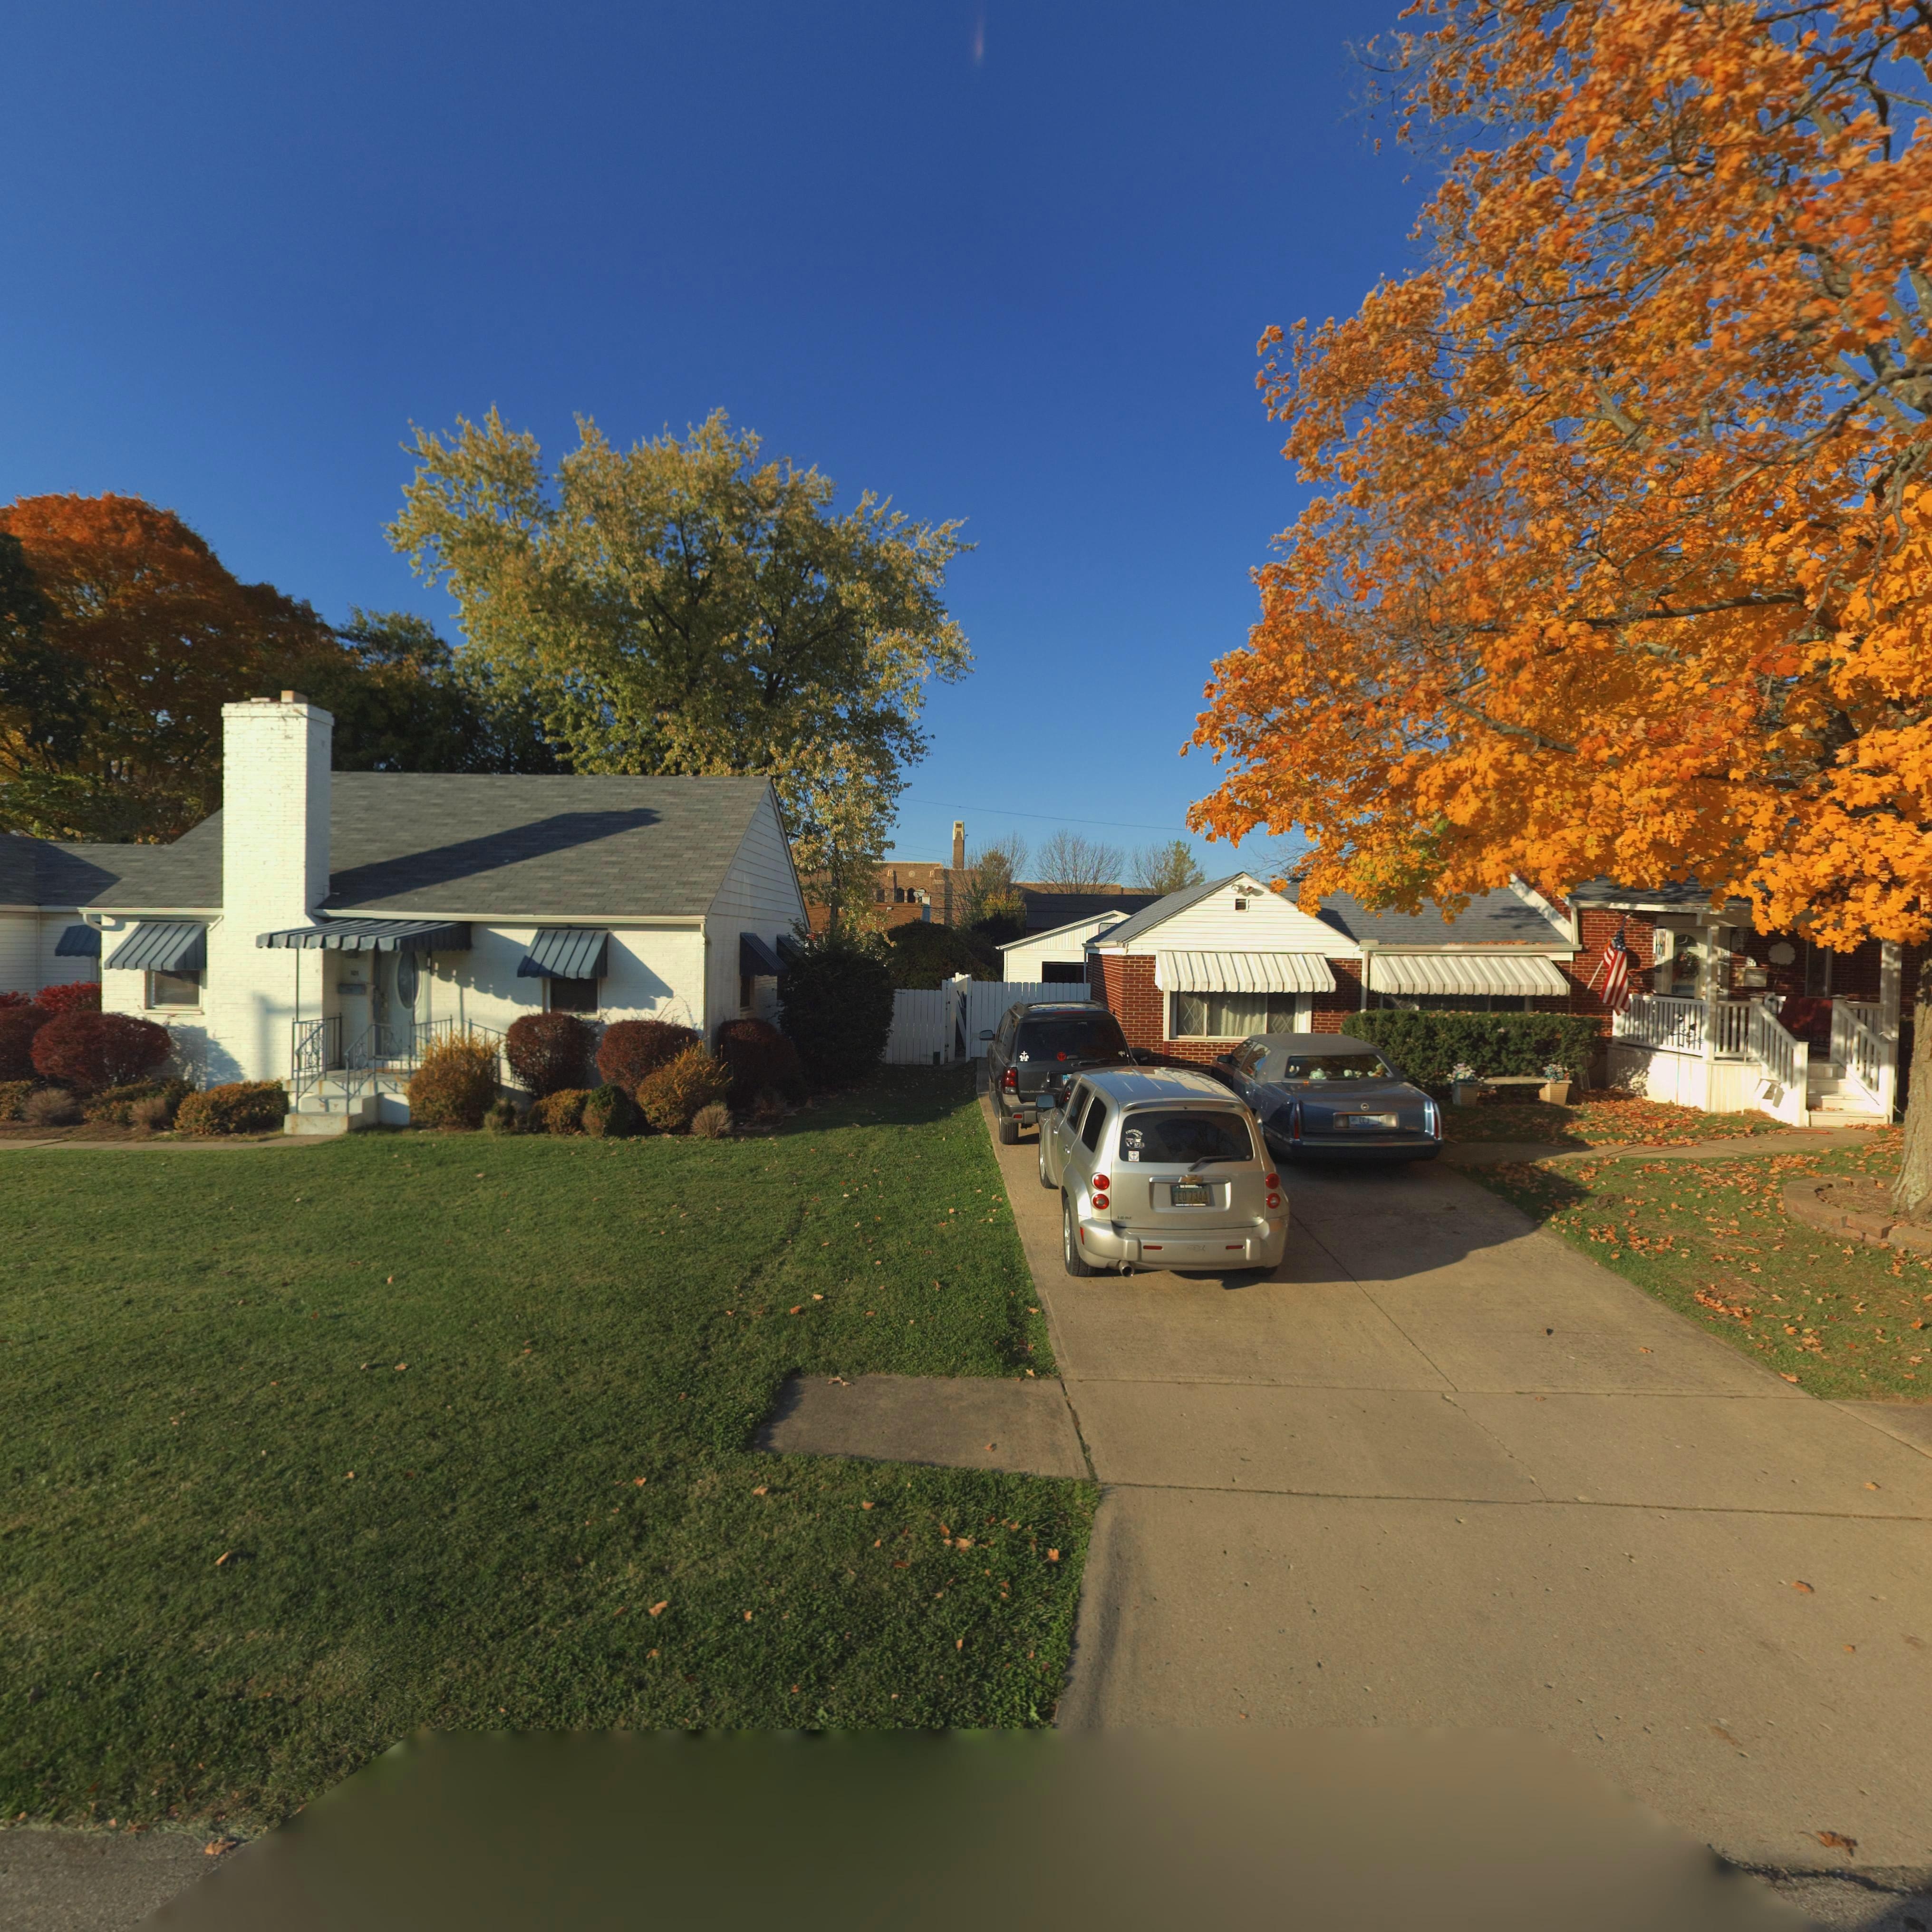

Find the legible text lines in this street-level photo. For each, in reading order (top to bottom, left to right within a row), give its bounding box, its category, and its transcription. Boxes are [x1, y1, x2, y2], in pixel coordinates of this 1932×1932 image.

[349, 969, 359, 976] StreetNumber: 101
[1722, 945, 1729, 973] StreetNumber: 105